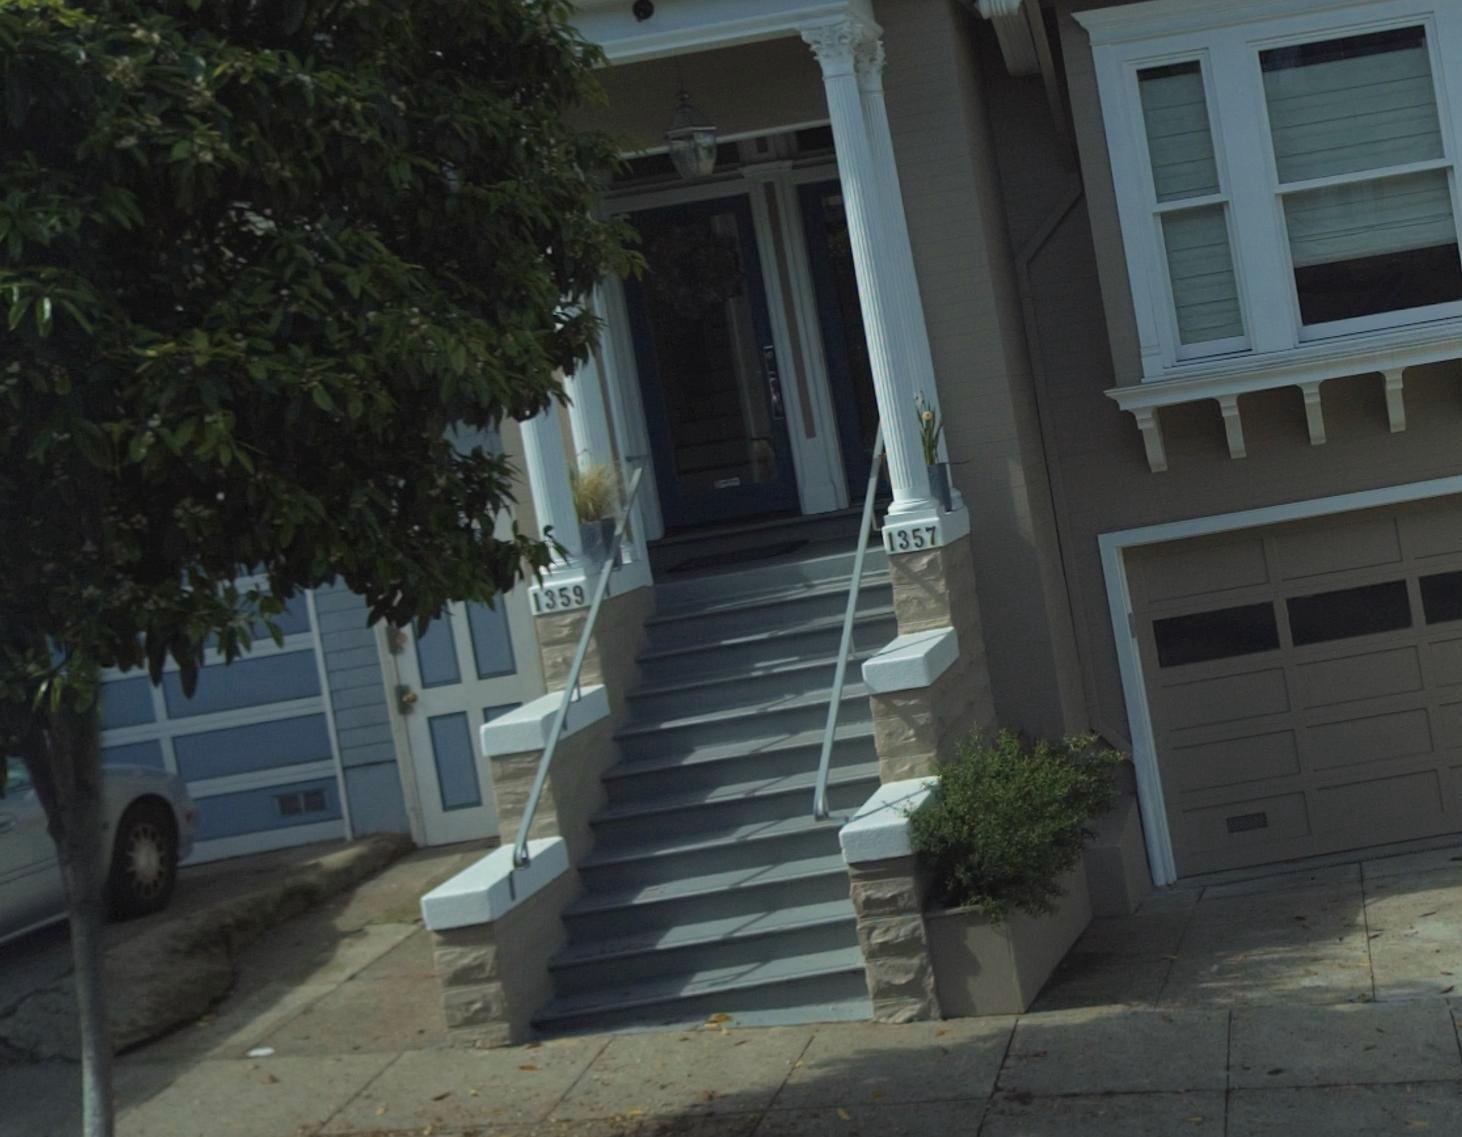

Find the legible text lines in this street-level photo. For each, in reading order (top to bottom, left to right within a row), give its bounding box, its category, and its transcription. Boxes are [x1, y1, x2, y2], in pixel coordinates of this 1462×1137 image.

[885, 522, 939, 555] StreetNumber: 1357
[530, 580, 589, 616] StreetNumber: 1359